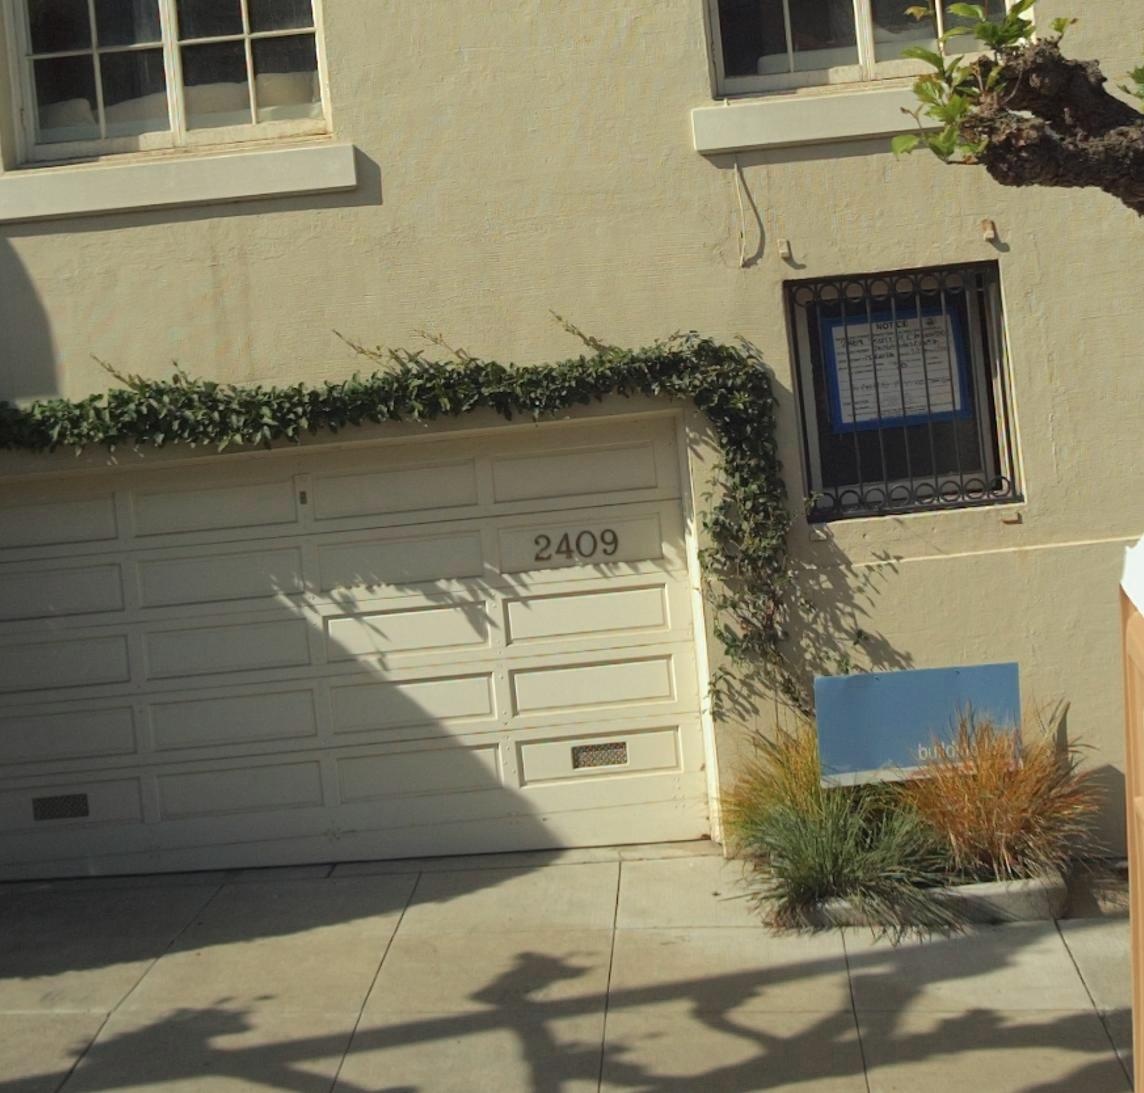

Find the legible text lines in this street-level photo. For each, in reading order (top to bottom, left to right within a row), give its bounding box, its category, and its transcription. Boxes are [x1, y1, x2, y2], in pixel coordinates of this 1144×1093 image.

[874, 317, 910, 333] None: NOT*CE
[531, 525, 622, 566] StreetNumber: 2409
[916, 740, 931, 761] None: b